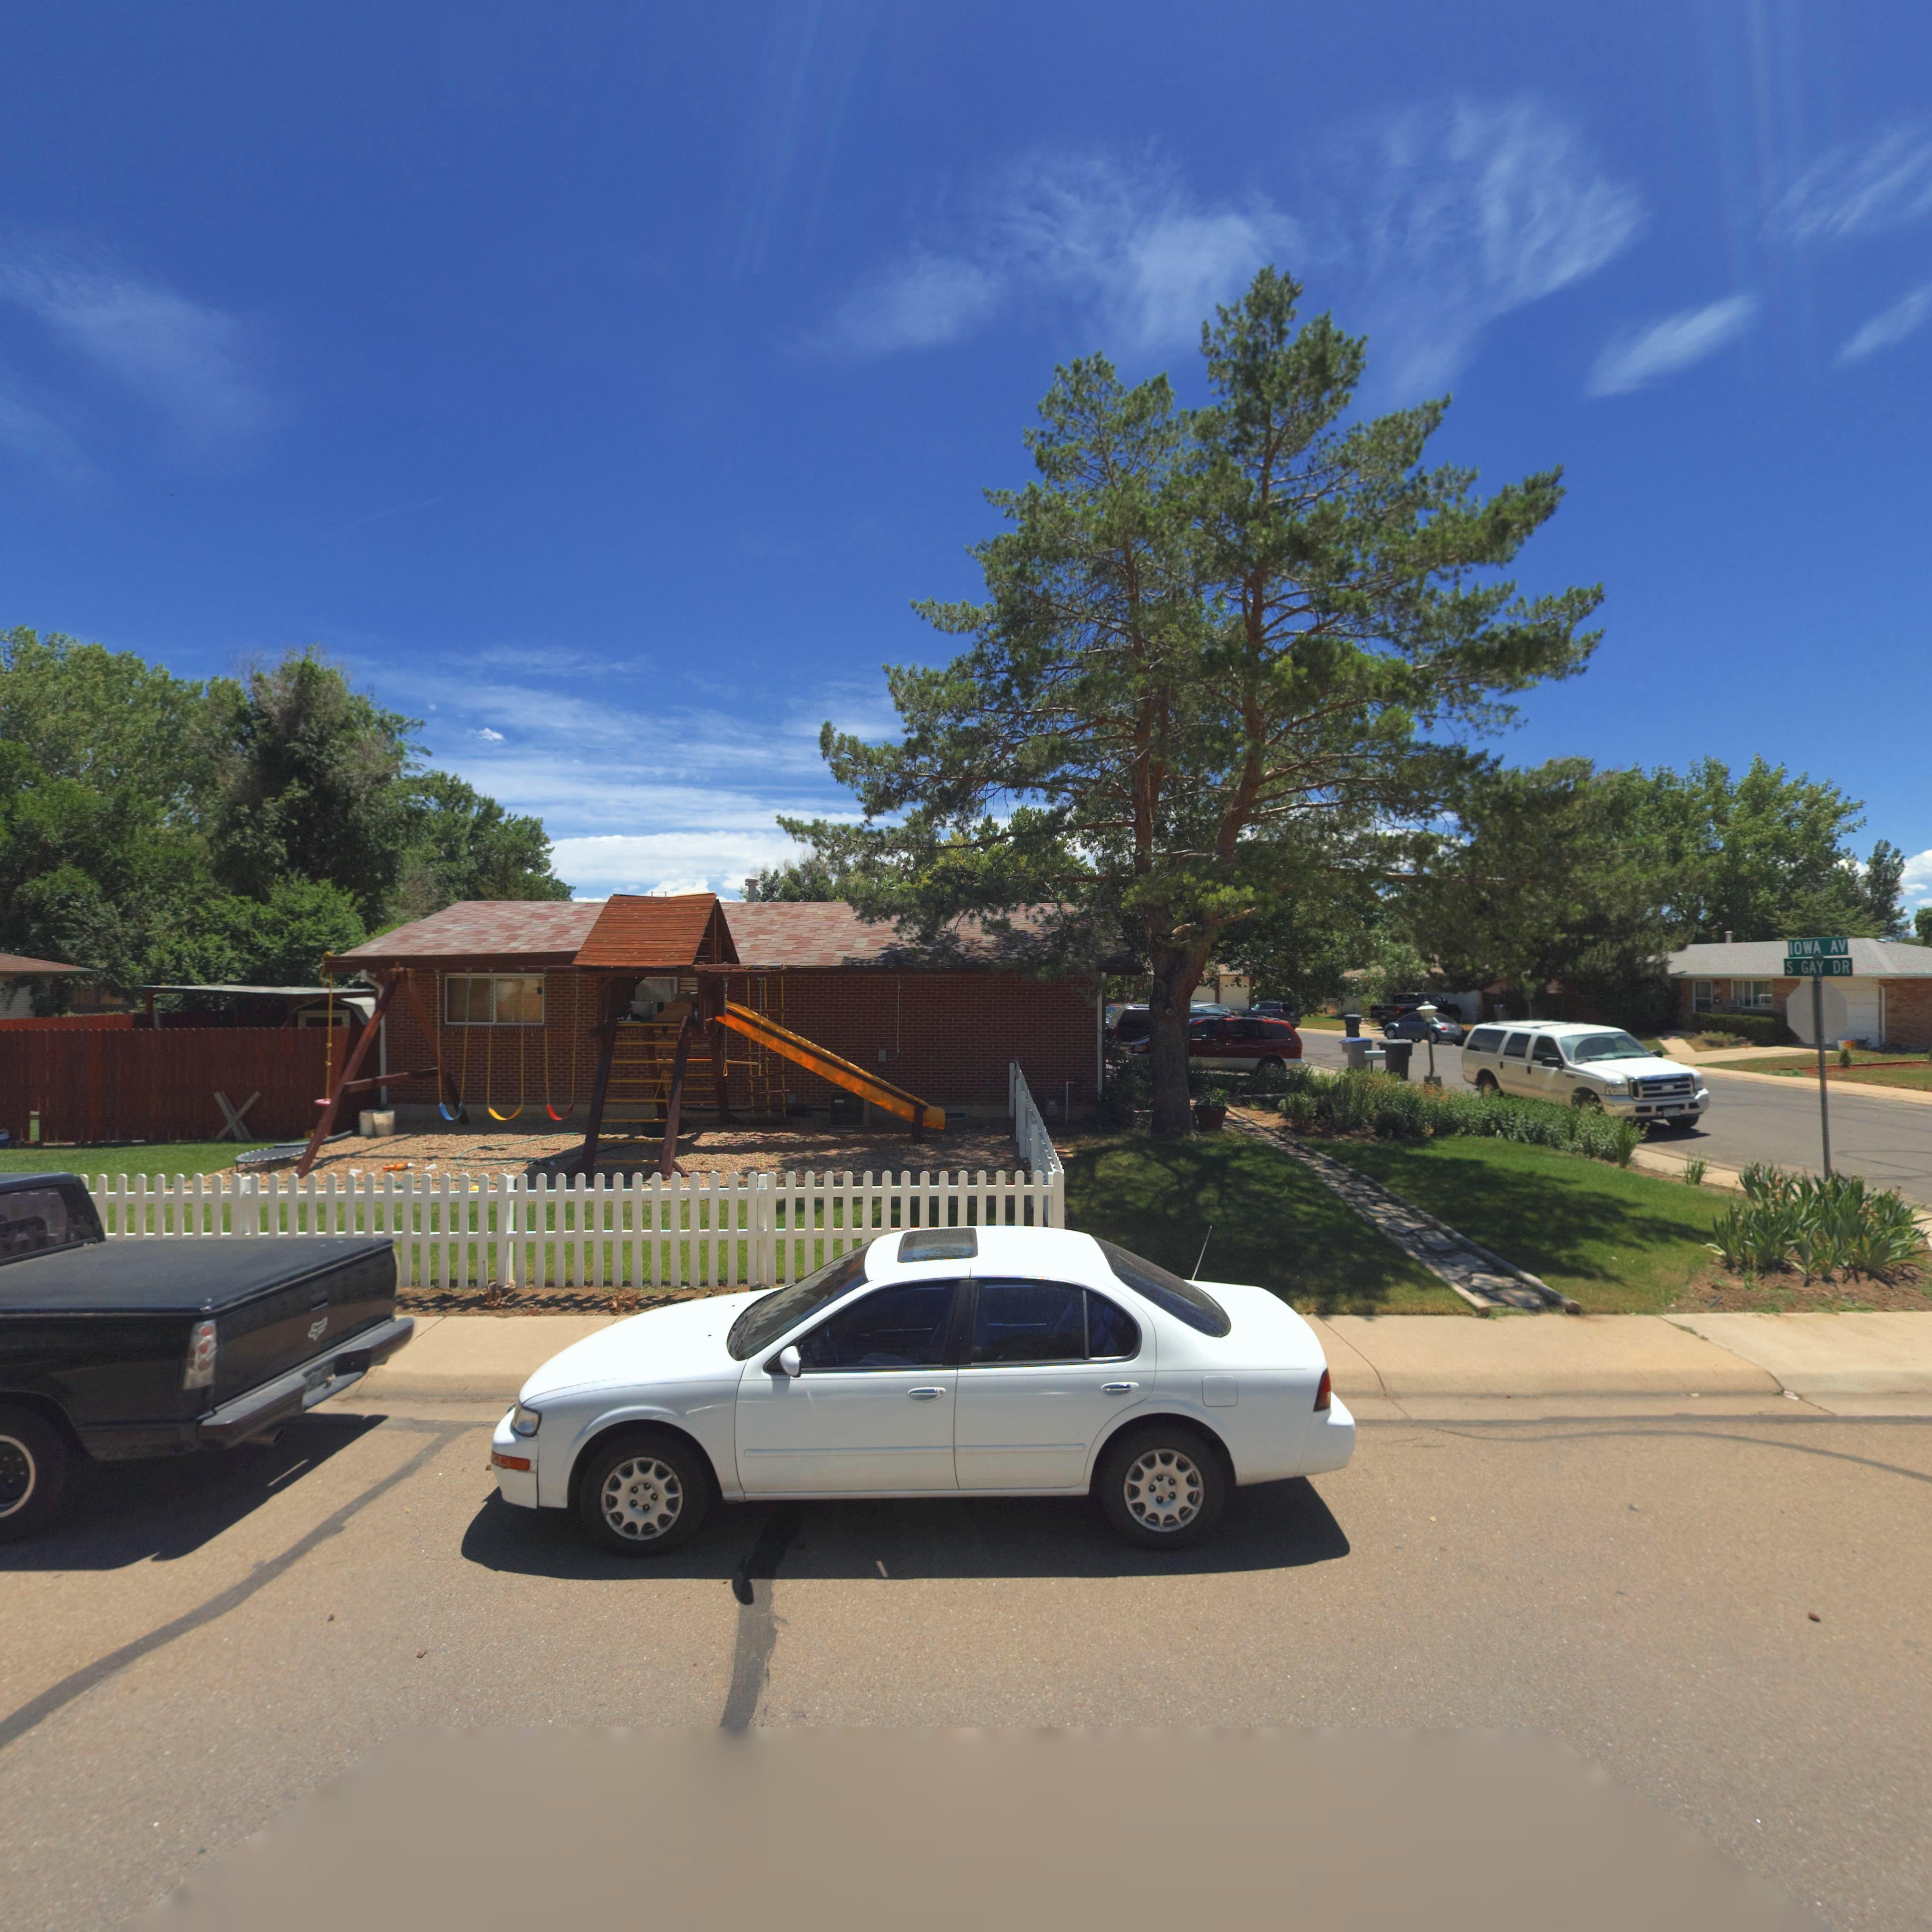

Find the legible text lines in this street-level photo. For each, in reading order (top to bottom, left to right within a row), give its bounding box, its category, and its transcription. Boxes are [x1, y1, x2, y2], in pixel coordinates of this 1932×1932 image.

[1788, 938, 1847, 956] StreetName: IOWA AV
[1786, 959, 1851, 974] StreetName: S GAY DR